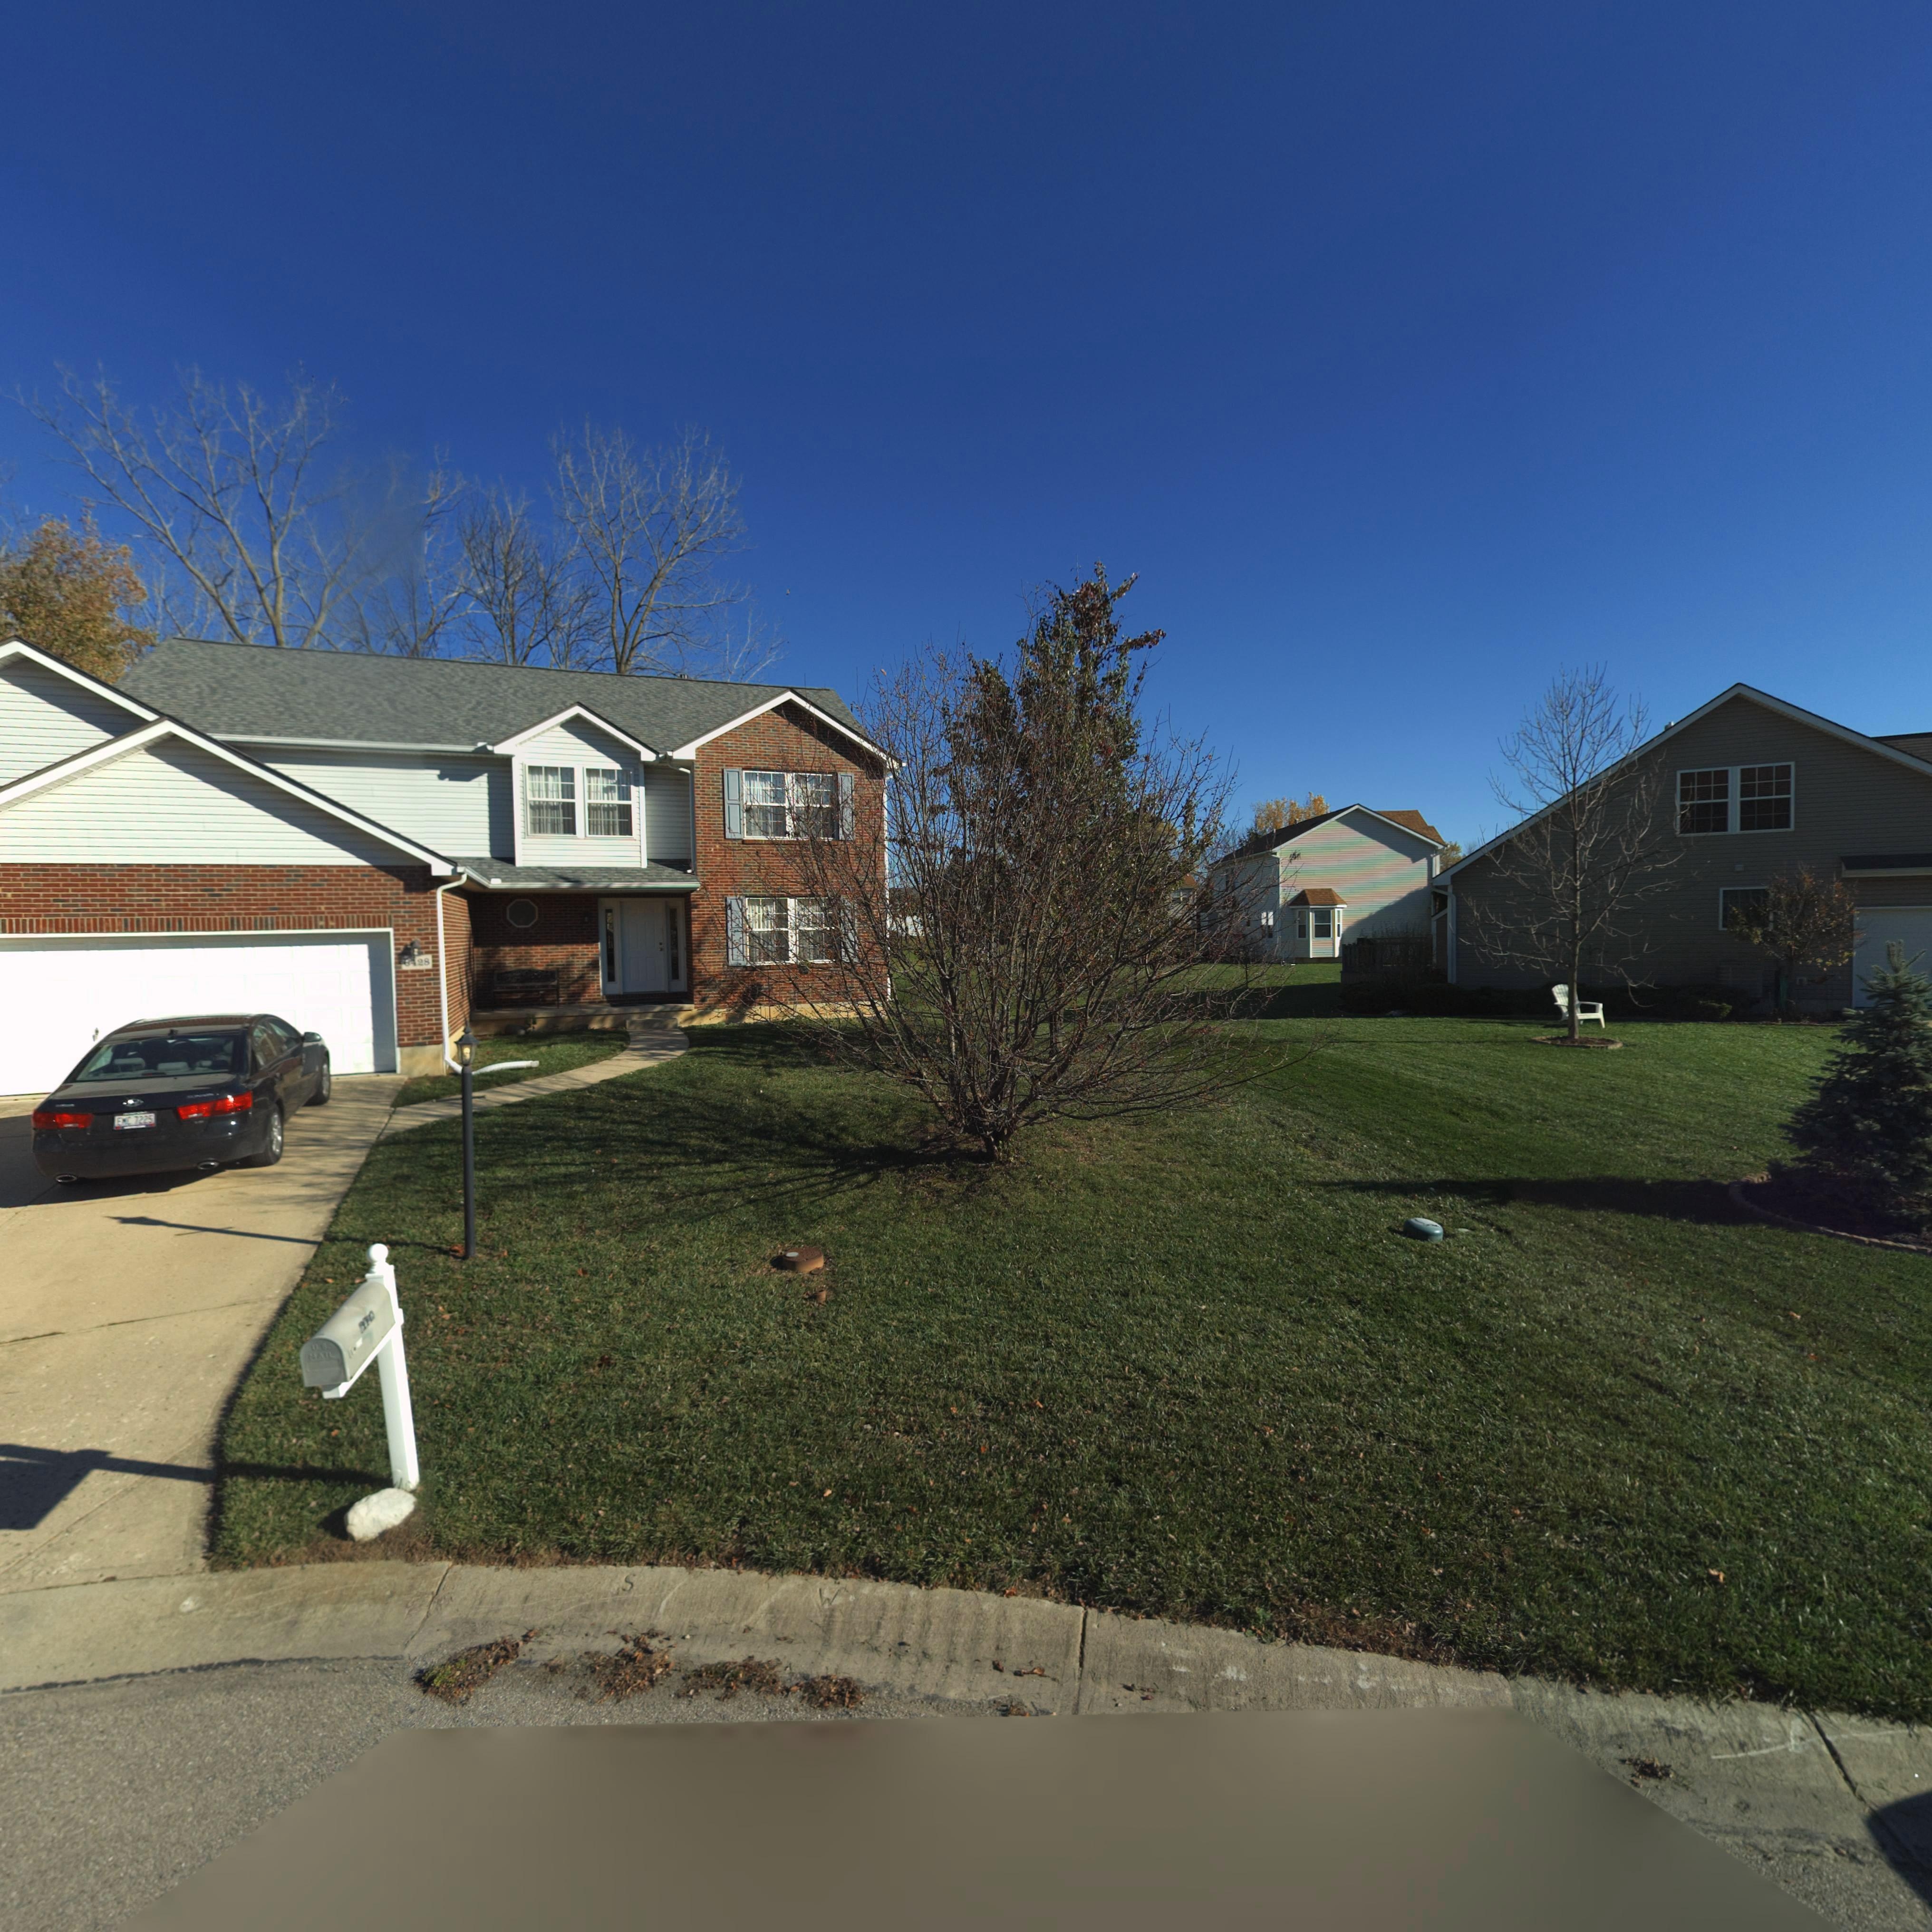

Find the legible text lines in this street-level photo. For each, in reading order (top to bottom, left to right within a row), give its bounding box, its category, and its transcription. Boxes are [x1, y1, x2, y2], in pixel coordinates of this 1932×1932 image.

[402, 956, 431, 967] StreetNumber: 6*28
[116, 1114, 154, 1126] None: EMC 7225